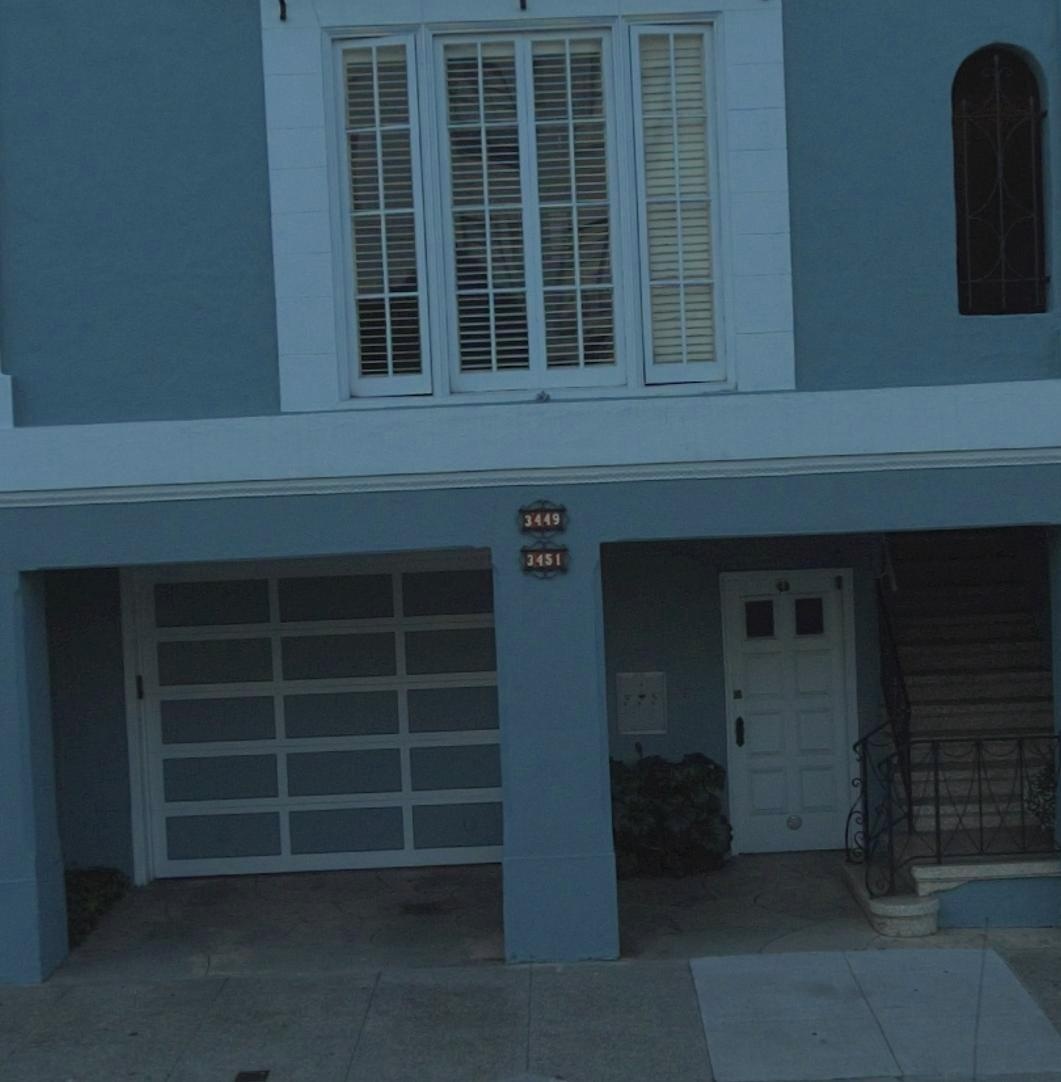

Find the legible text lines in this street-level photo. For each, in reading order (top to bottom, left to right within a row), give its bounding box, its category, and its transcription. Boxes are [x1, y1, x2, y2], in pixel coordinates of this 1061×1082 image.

[522, 509, 563, 530] StreetNumber: 3449
[524, 550, 563, 569] StreetNumber: 3451